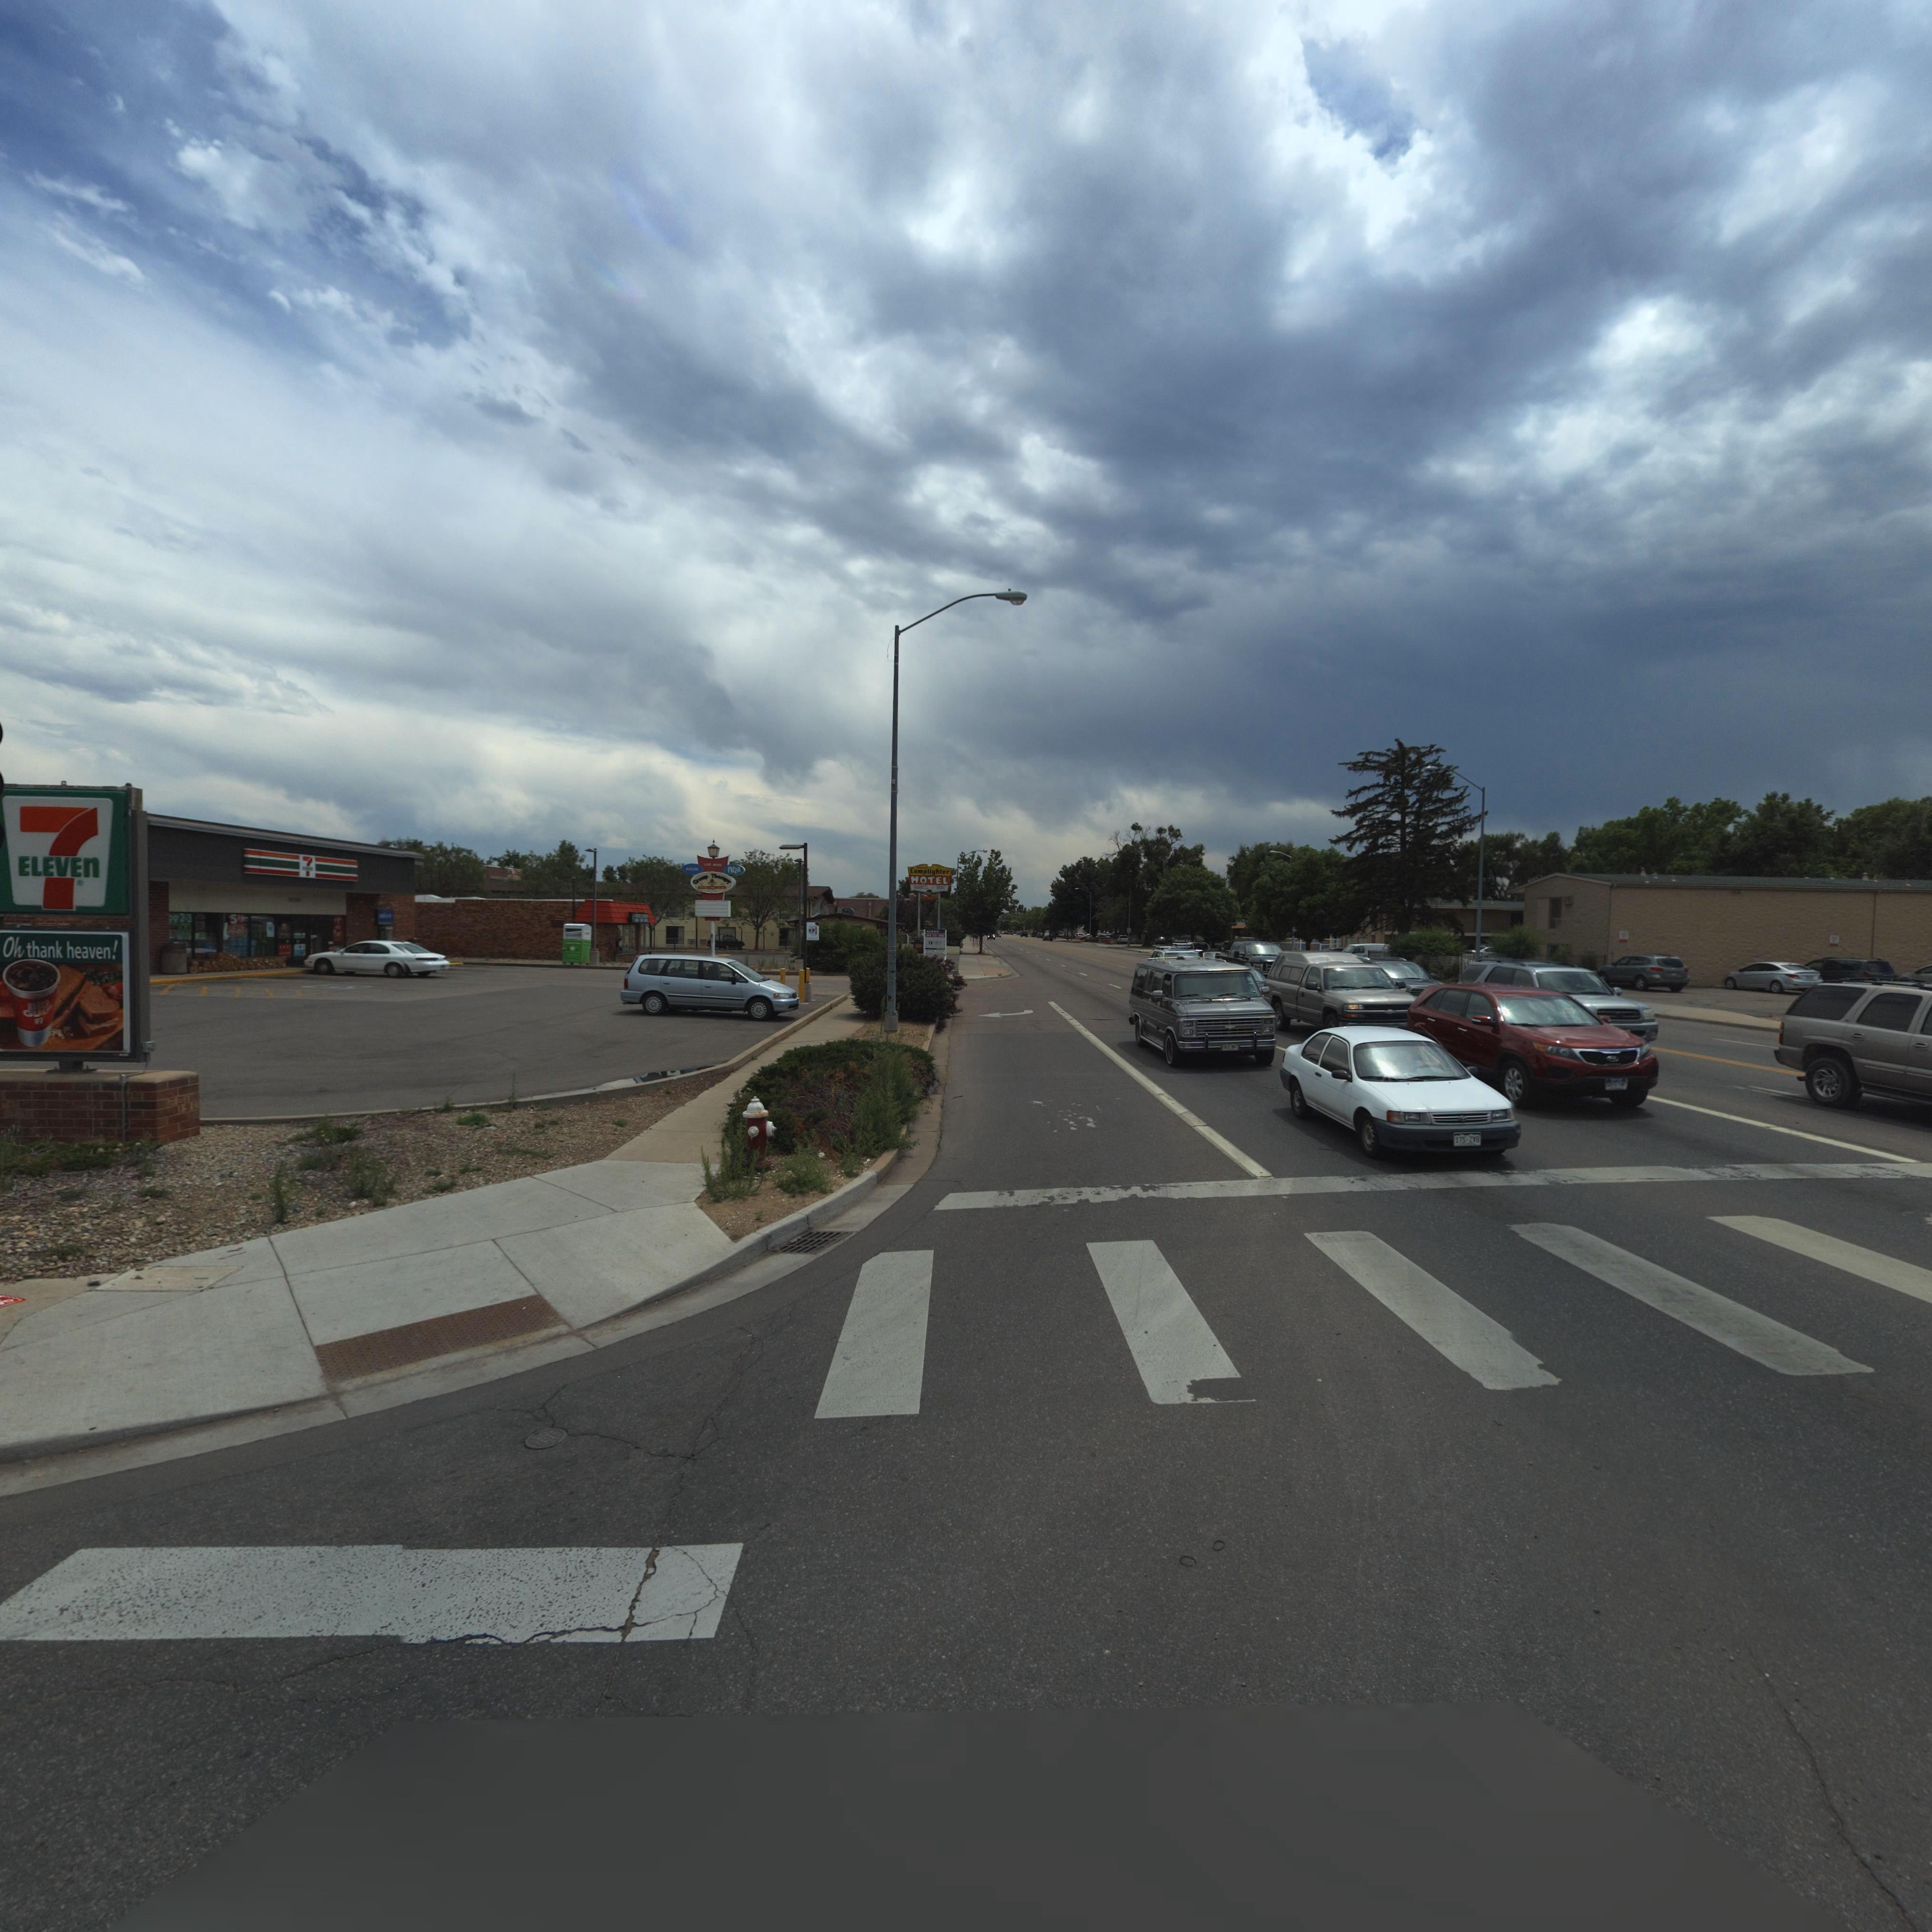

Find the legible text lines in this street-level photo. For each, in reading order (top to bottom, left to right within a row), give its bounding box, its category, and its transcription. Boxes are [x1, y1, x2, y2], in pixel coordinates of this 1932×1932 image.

[19, 805, 99, 910] BusinessName: 7
[18, 855, 100, 878] BusinessName: ELEVEn
[302, 855, 313, 877] BusinessName: 7
[910, 876, 948, 884] BusinessName: MOTEL
[909, 867, 950, 875] BusinessName: L**pligh*er